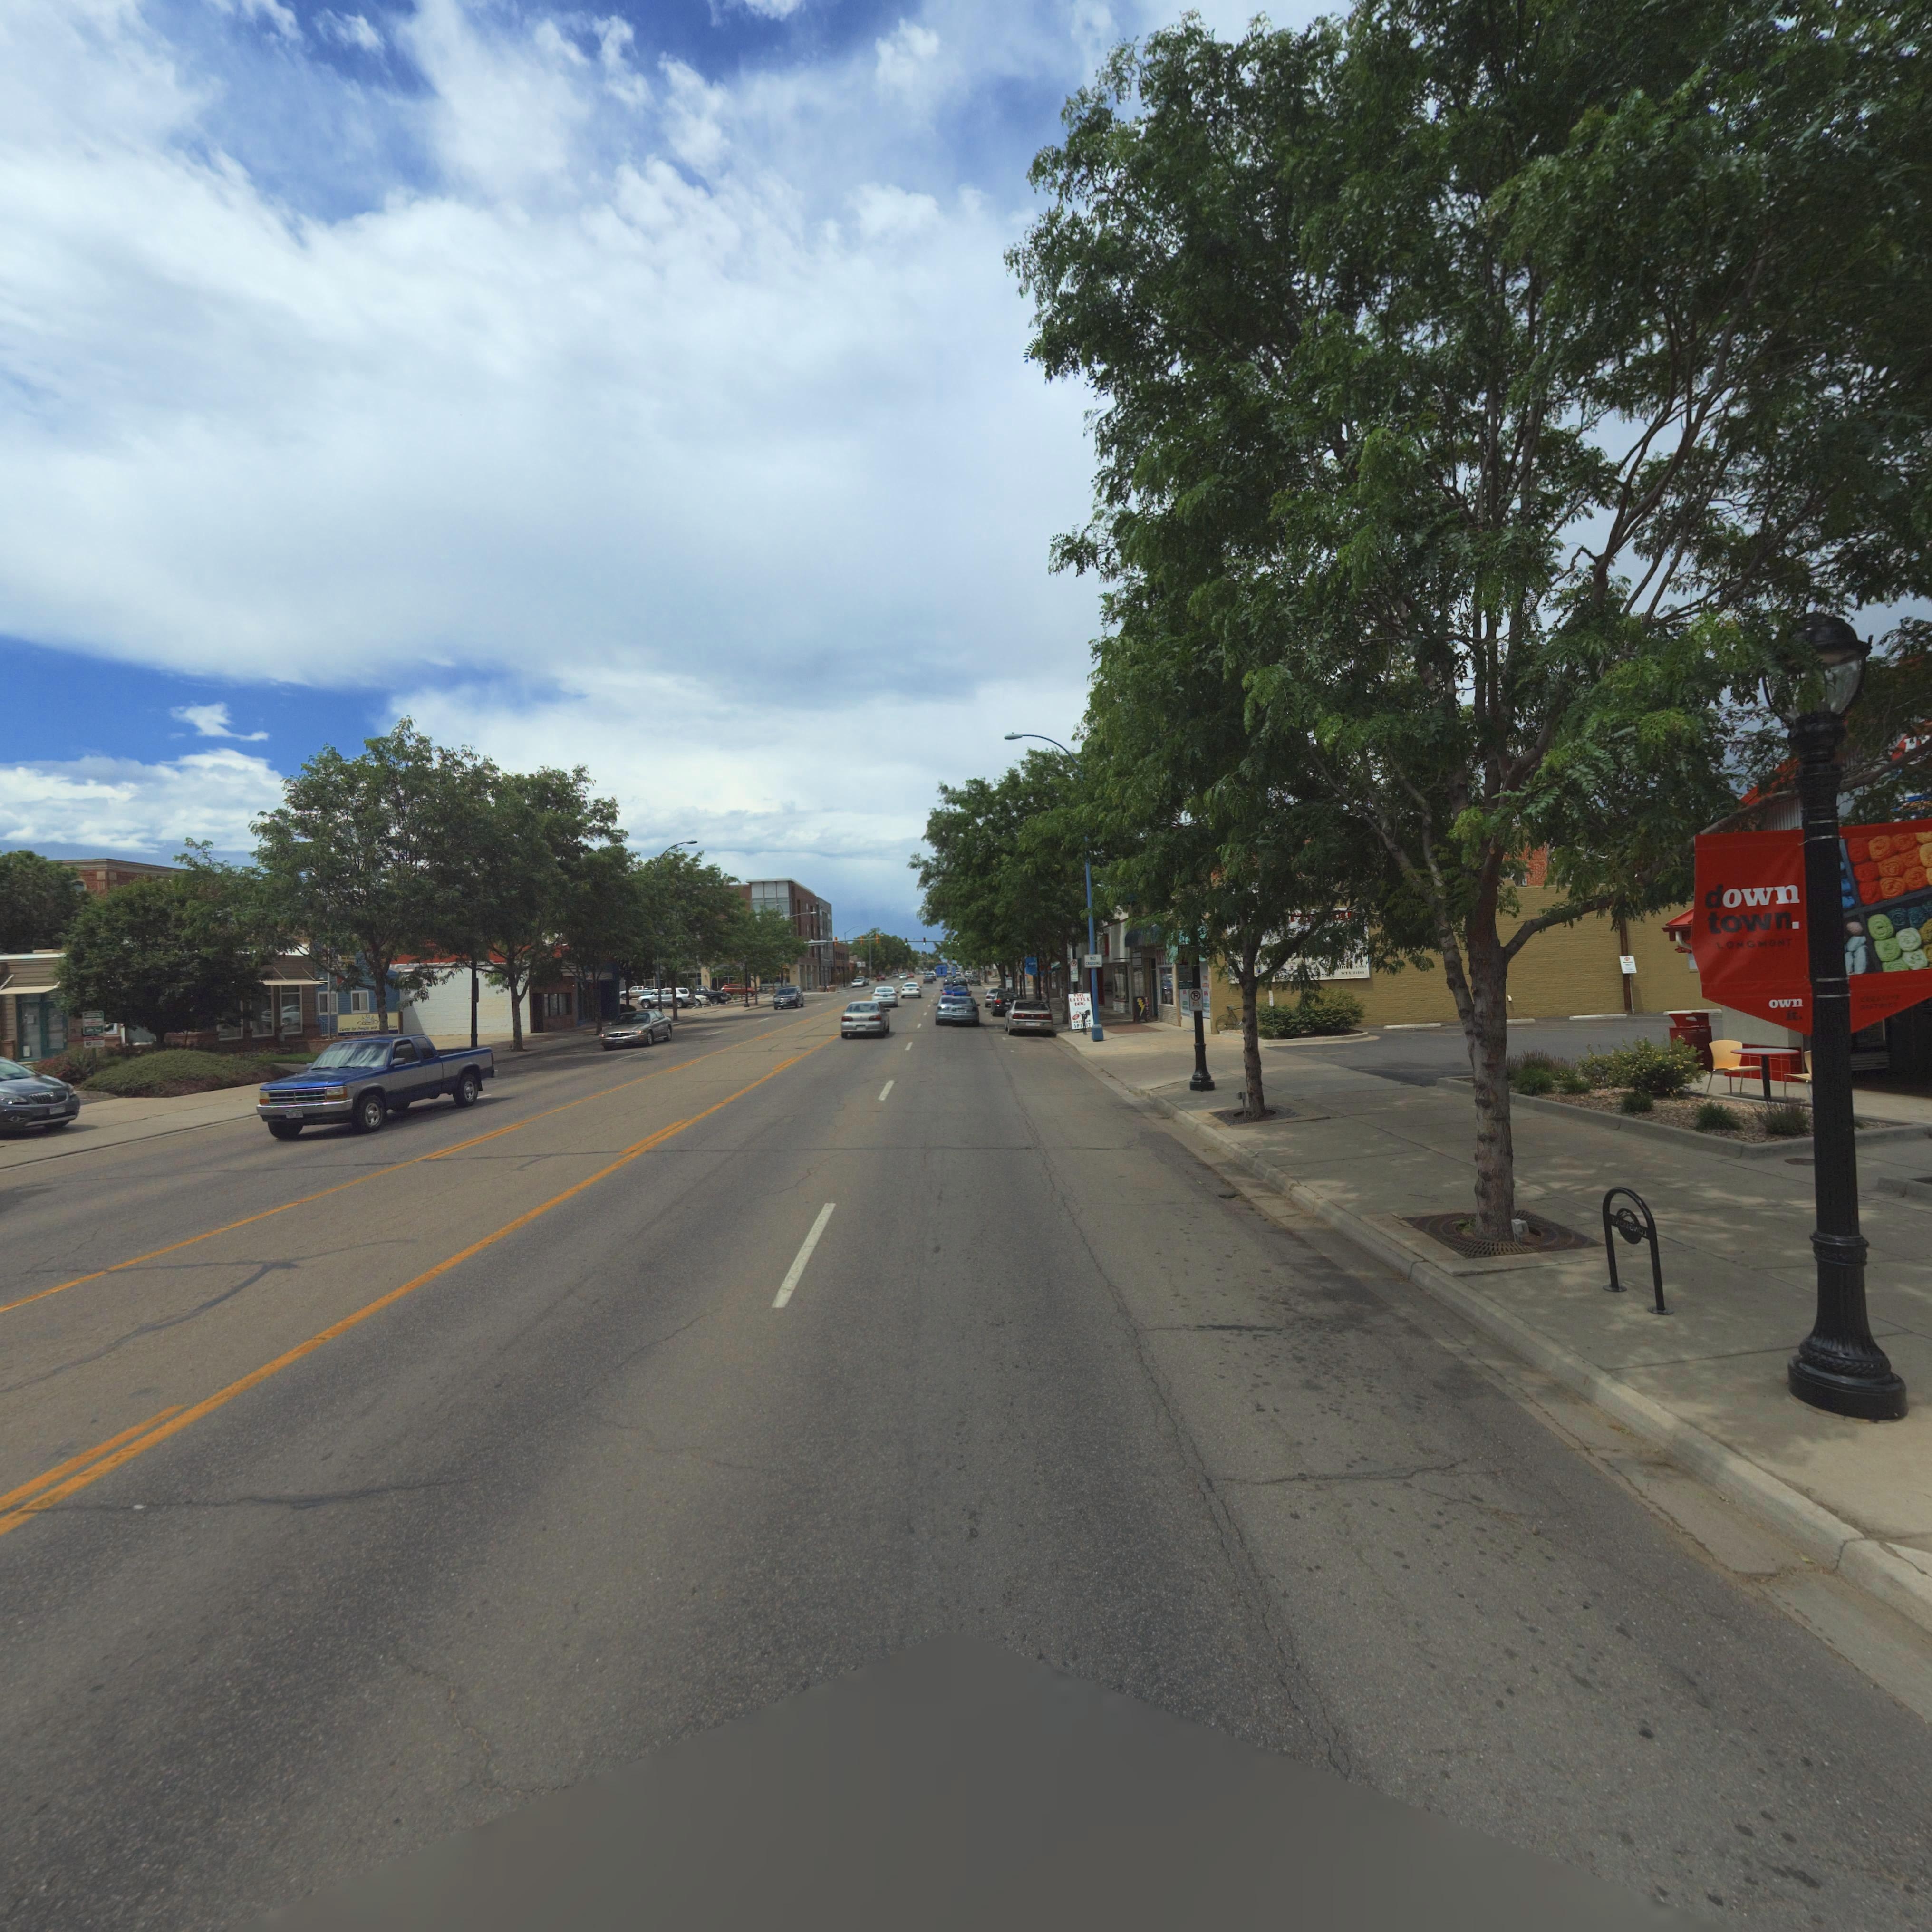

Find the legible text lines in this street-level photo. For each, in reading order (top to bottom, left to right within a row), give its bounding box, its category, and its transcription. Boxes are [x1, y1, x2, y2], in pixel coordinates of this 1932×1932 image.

[1201, 982, 1208, 988] BusinessName: LITT
[1073, 993, 1084, 997] BusinessName: THE
[1070, 997, 1090, 1002] BusinessName: LITTLE
[1073, 1001, 1086, 1006] BusinessName: DOG
[338, 1025, 398, 1031] BusinessName: C***** for People With ***********